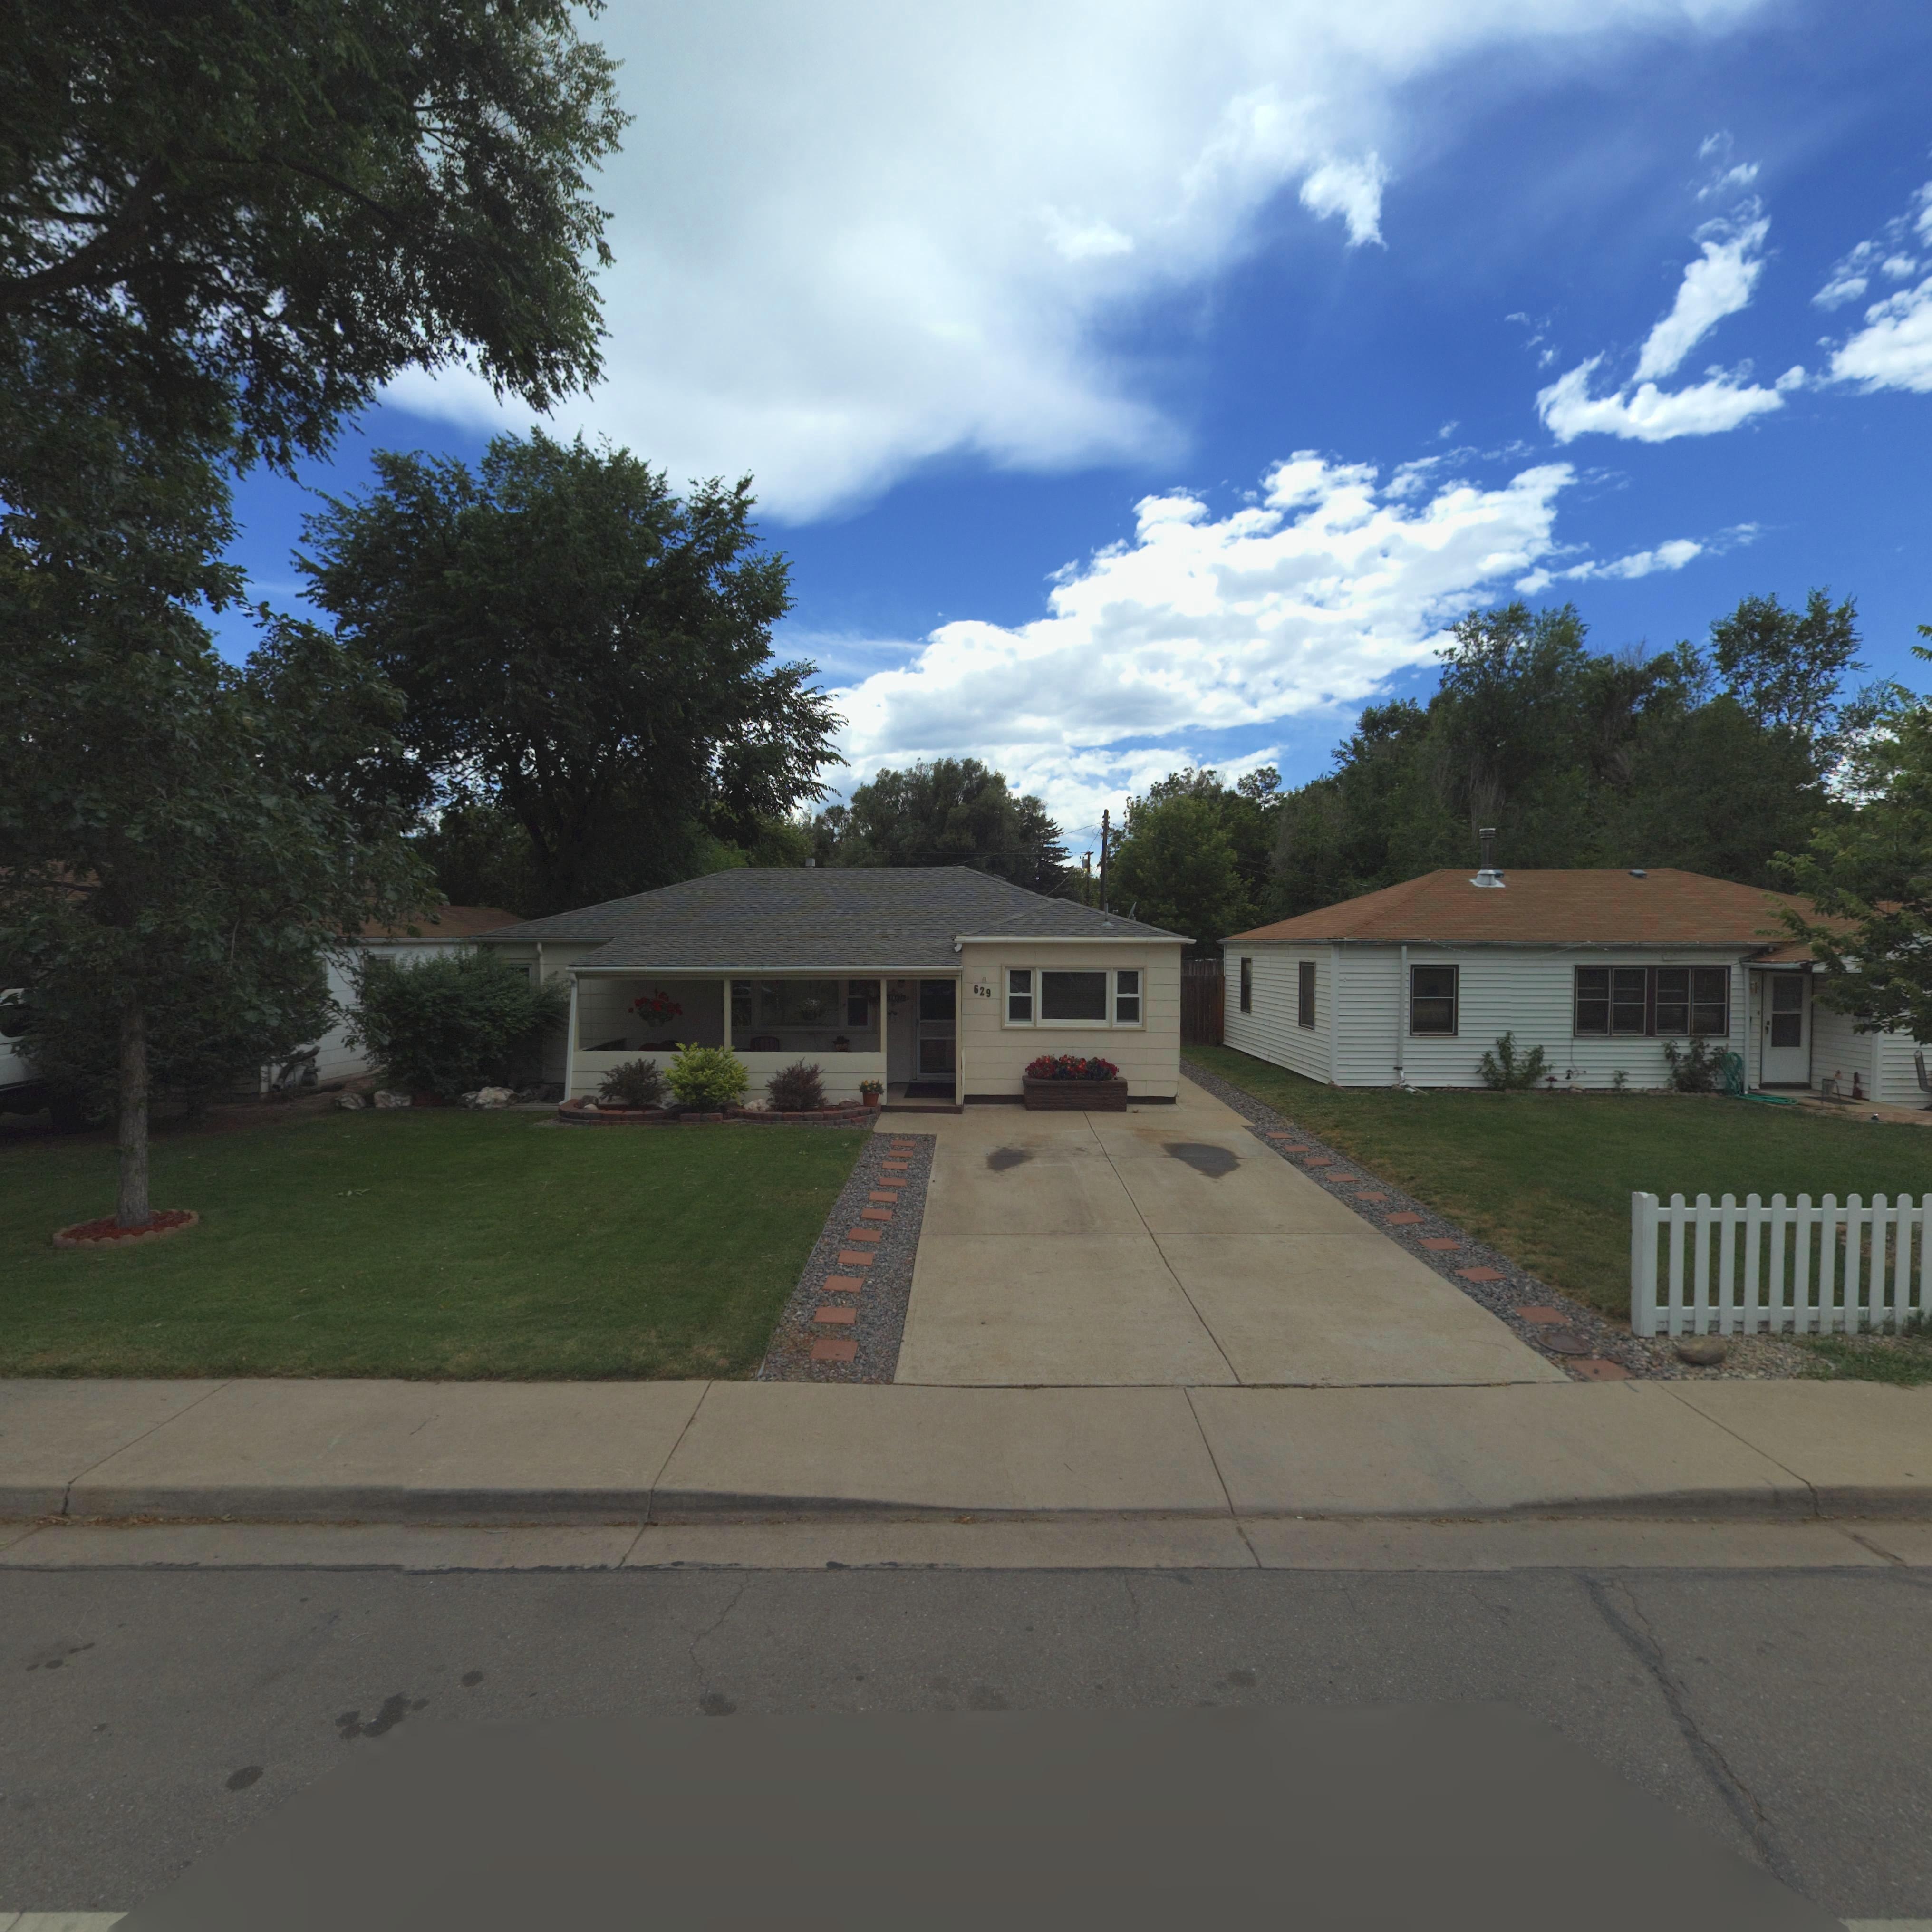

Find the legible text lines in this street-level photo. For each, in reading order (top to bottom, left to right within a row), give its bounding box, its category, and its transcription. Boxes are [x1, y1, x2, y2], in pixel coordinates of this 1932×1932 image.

[974, 984, 991, 998] StreetNumber: 629